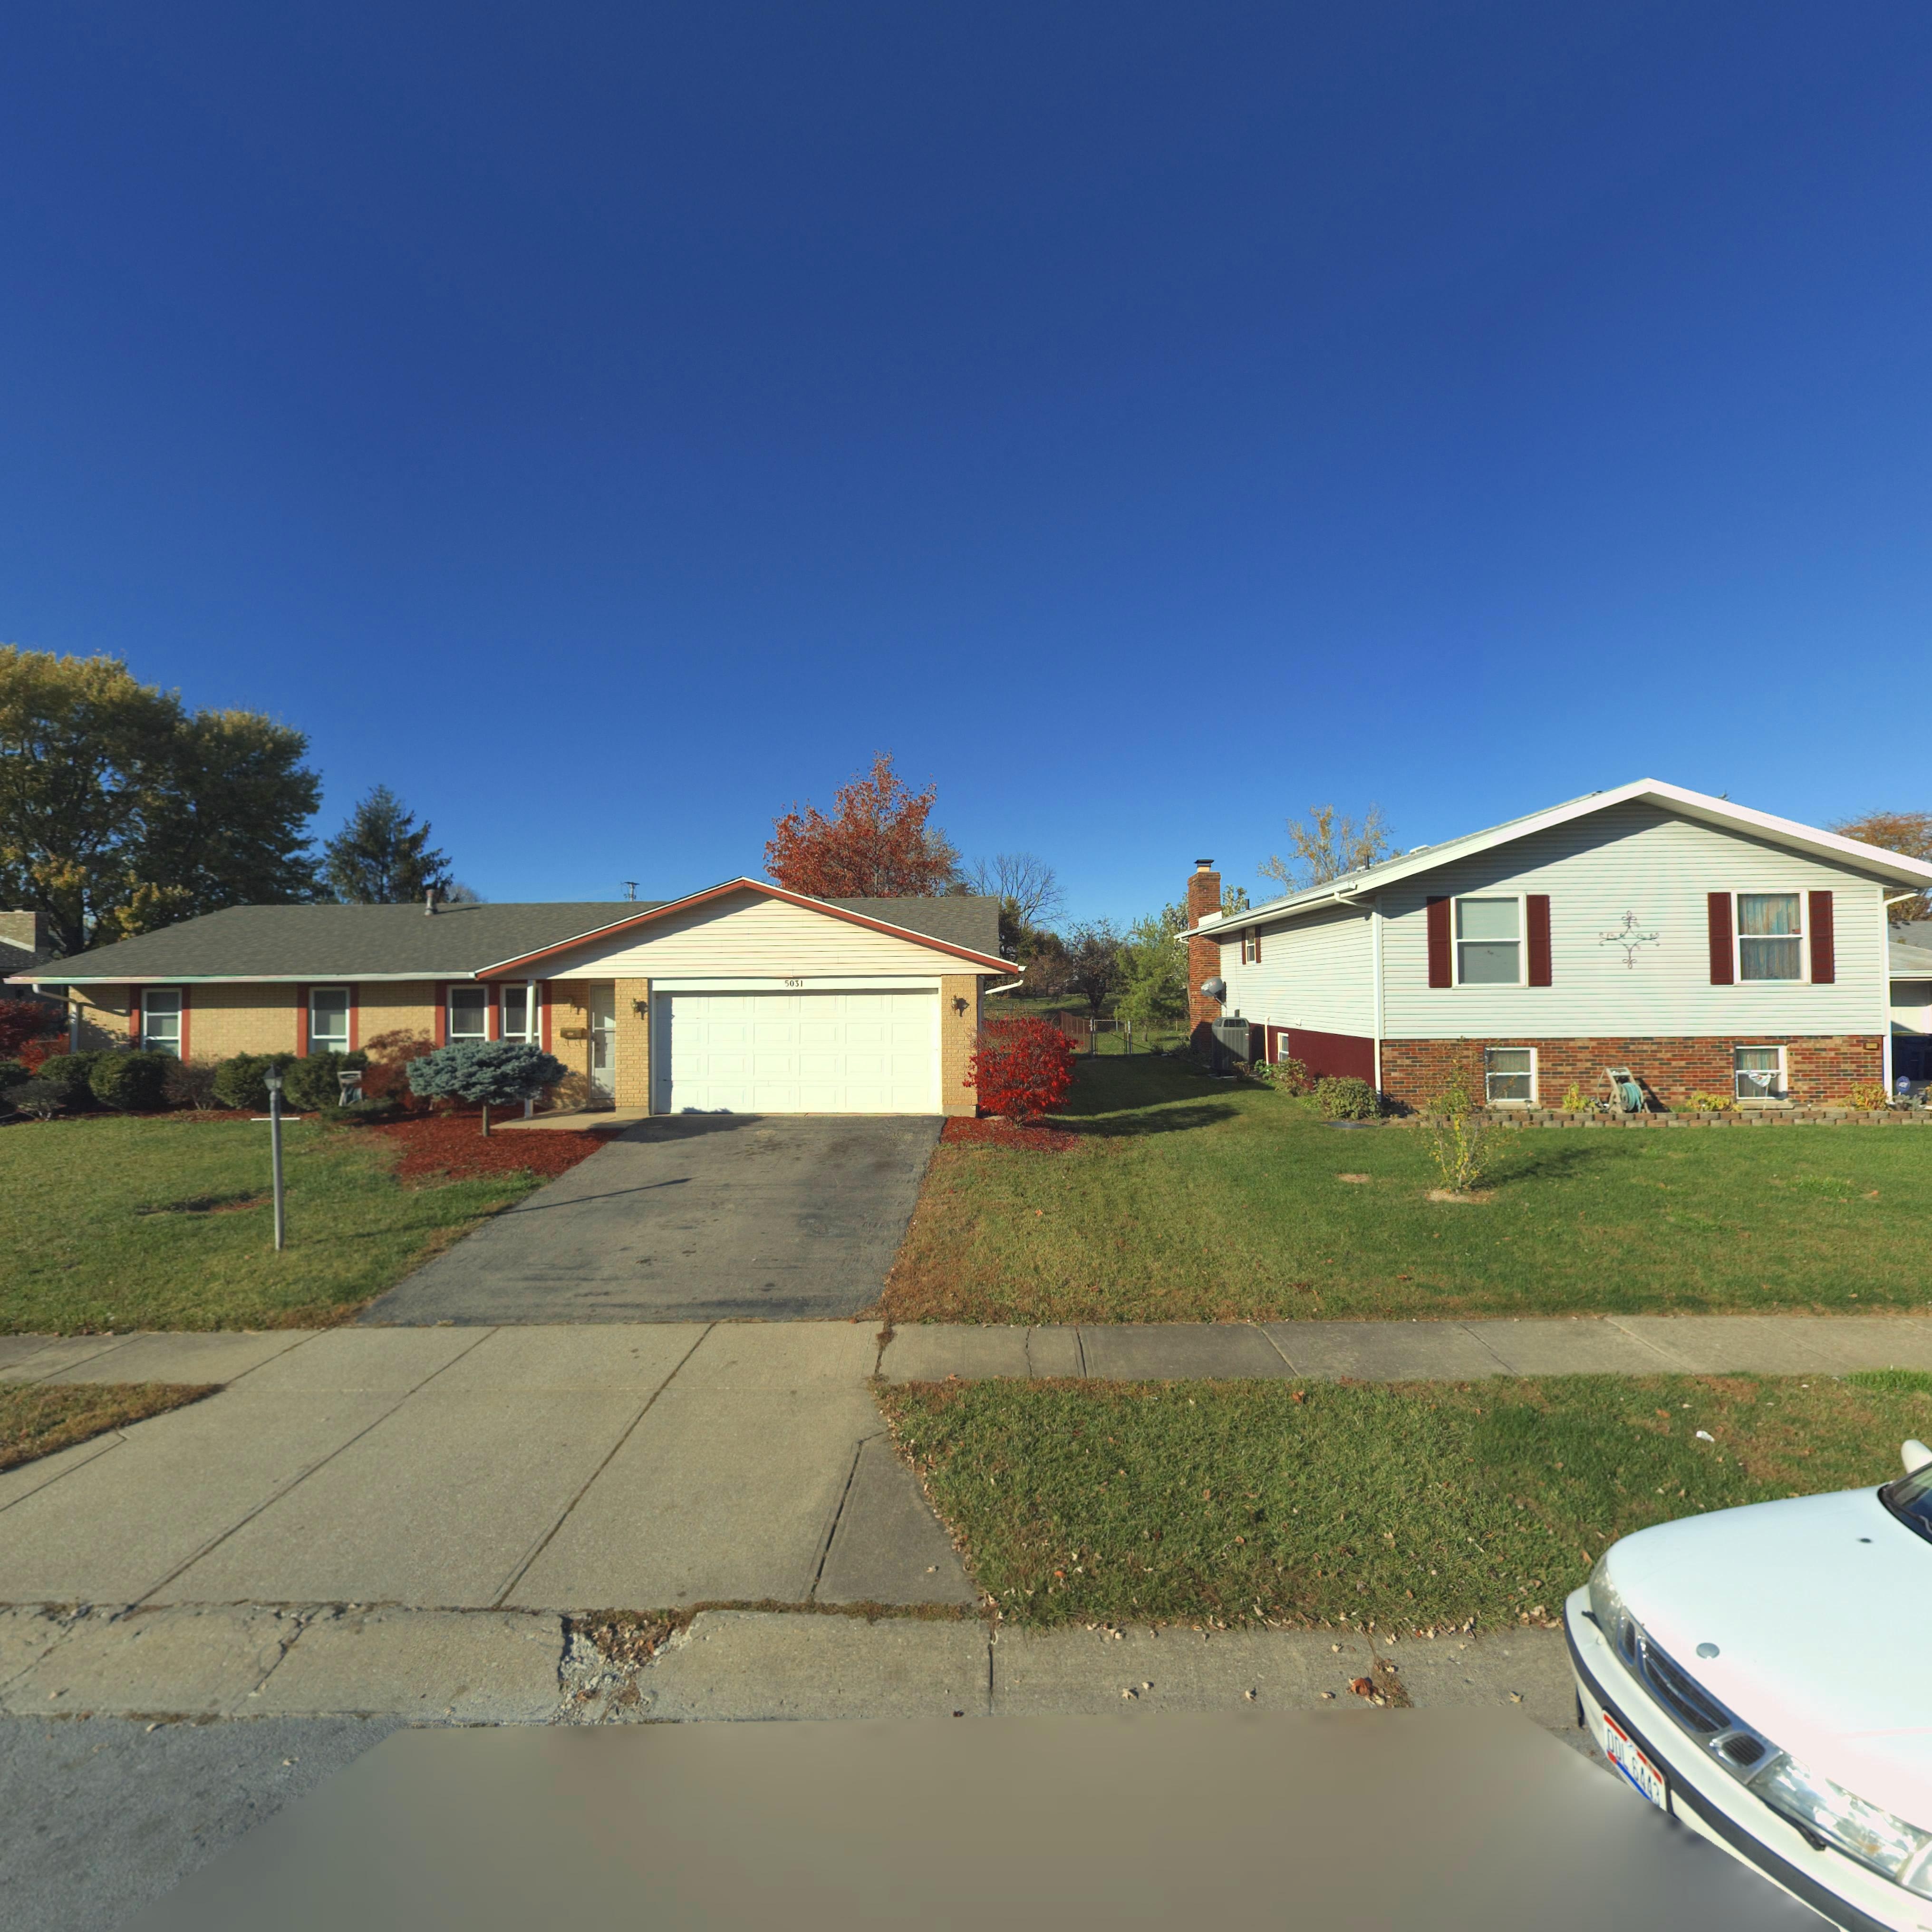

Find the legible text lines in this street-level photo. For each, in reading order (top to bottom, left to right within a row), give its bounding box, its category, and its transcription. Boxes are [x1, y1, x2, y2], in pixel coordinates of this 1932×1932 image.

[784, 980, 802, 987] StreetNumber: 5031